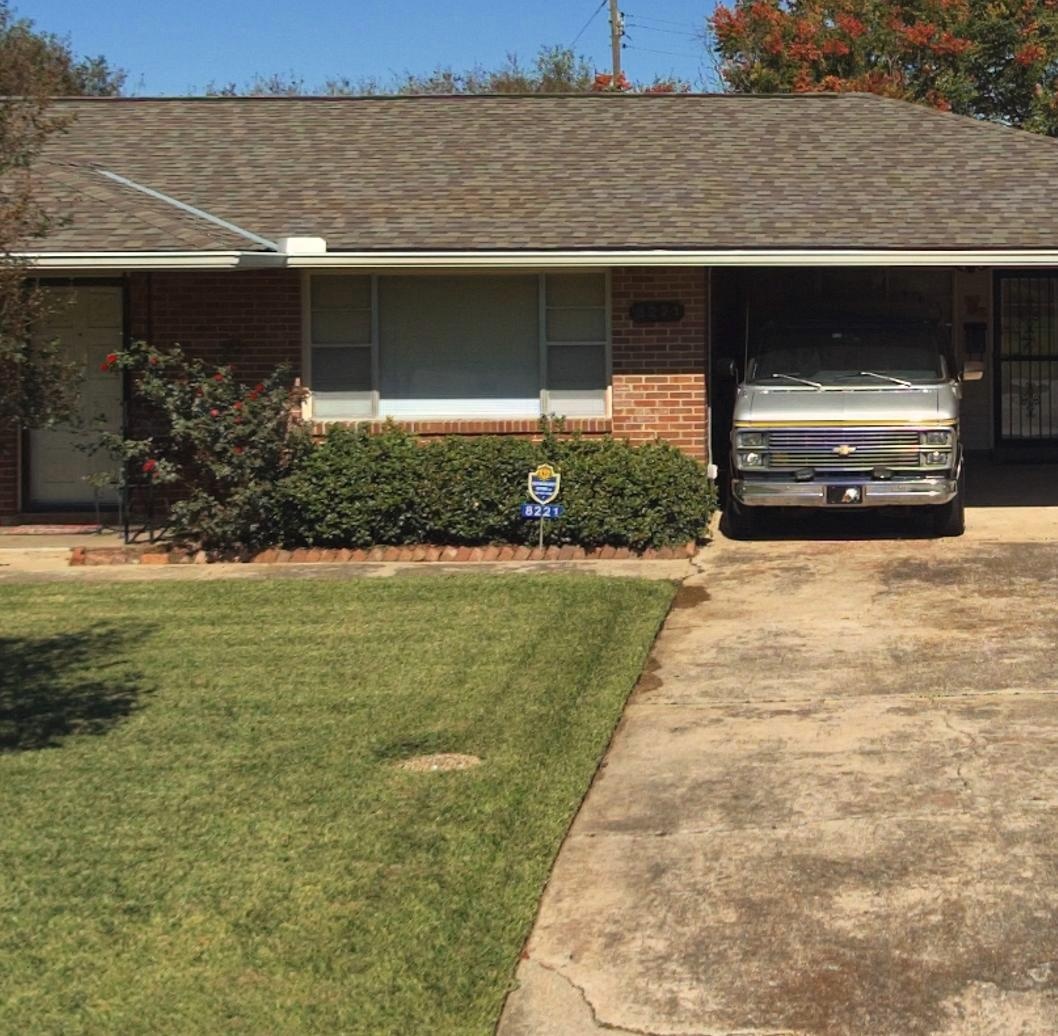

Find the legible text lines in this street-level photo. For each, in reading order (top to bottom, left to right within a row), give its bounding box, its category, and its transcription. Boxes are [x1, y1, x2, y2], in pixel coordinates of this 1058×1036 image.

[523, 504, 560, 519] StreetNumber: 8221